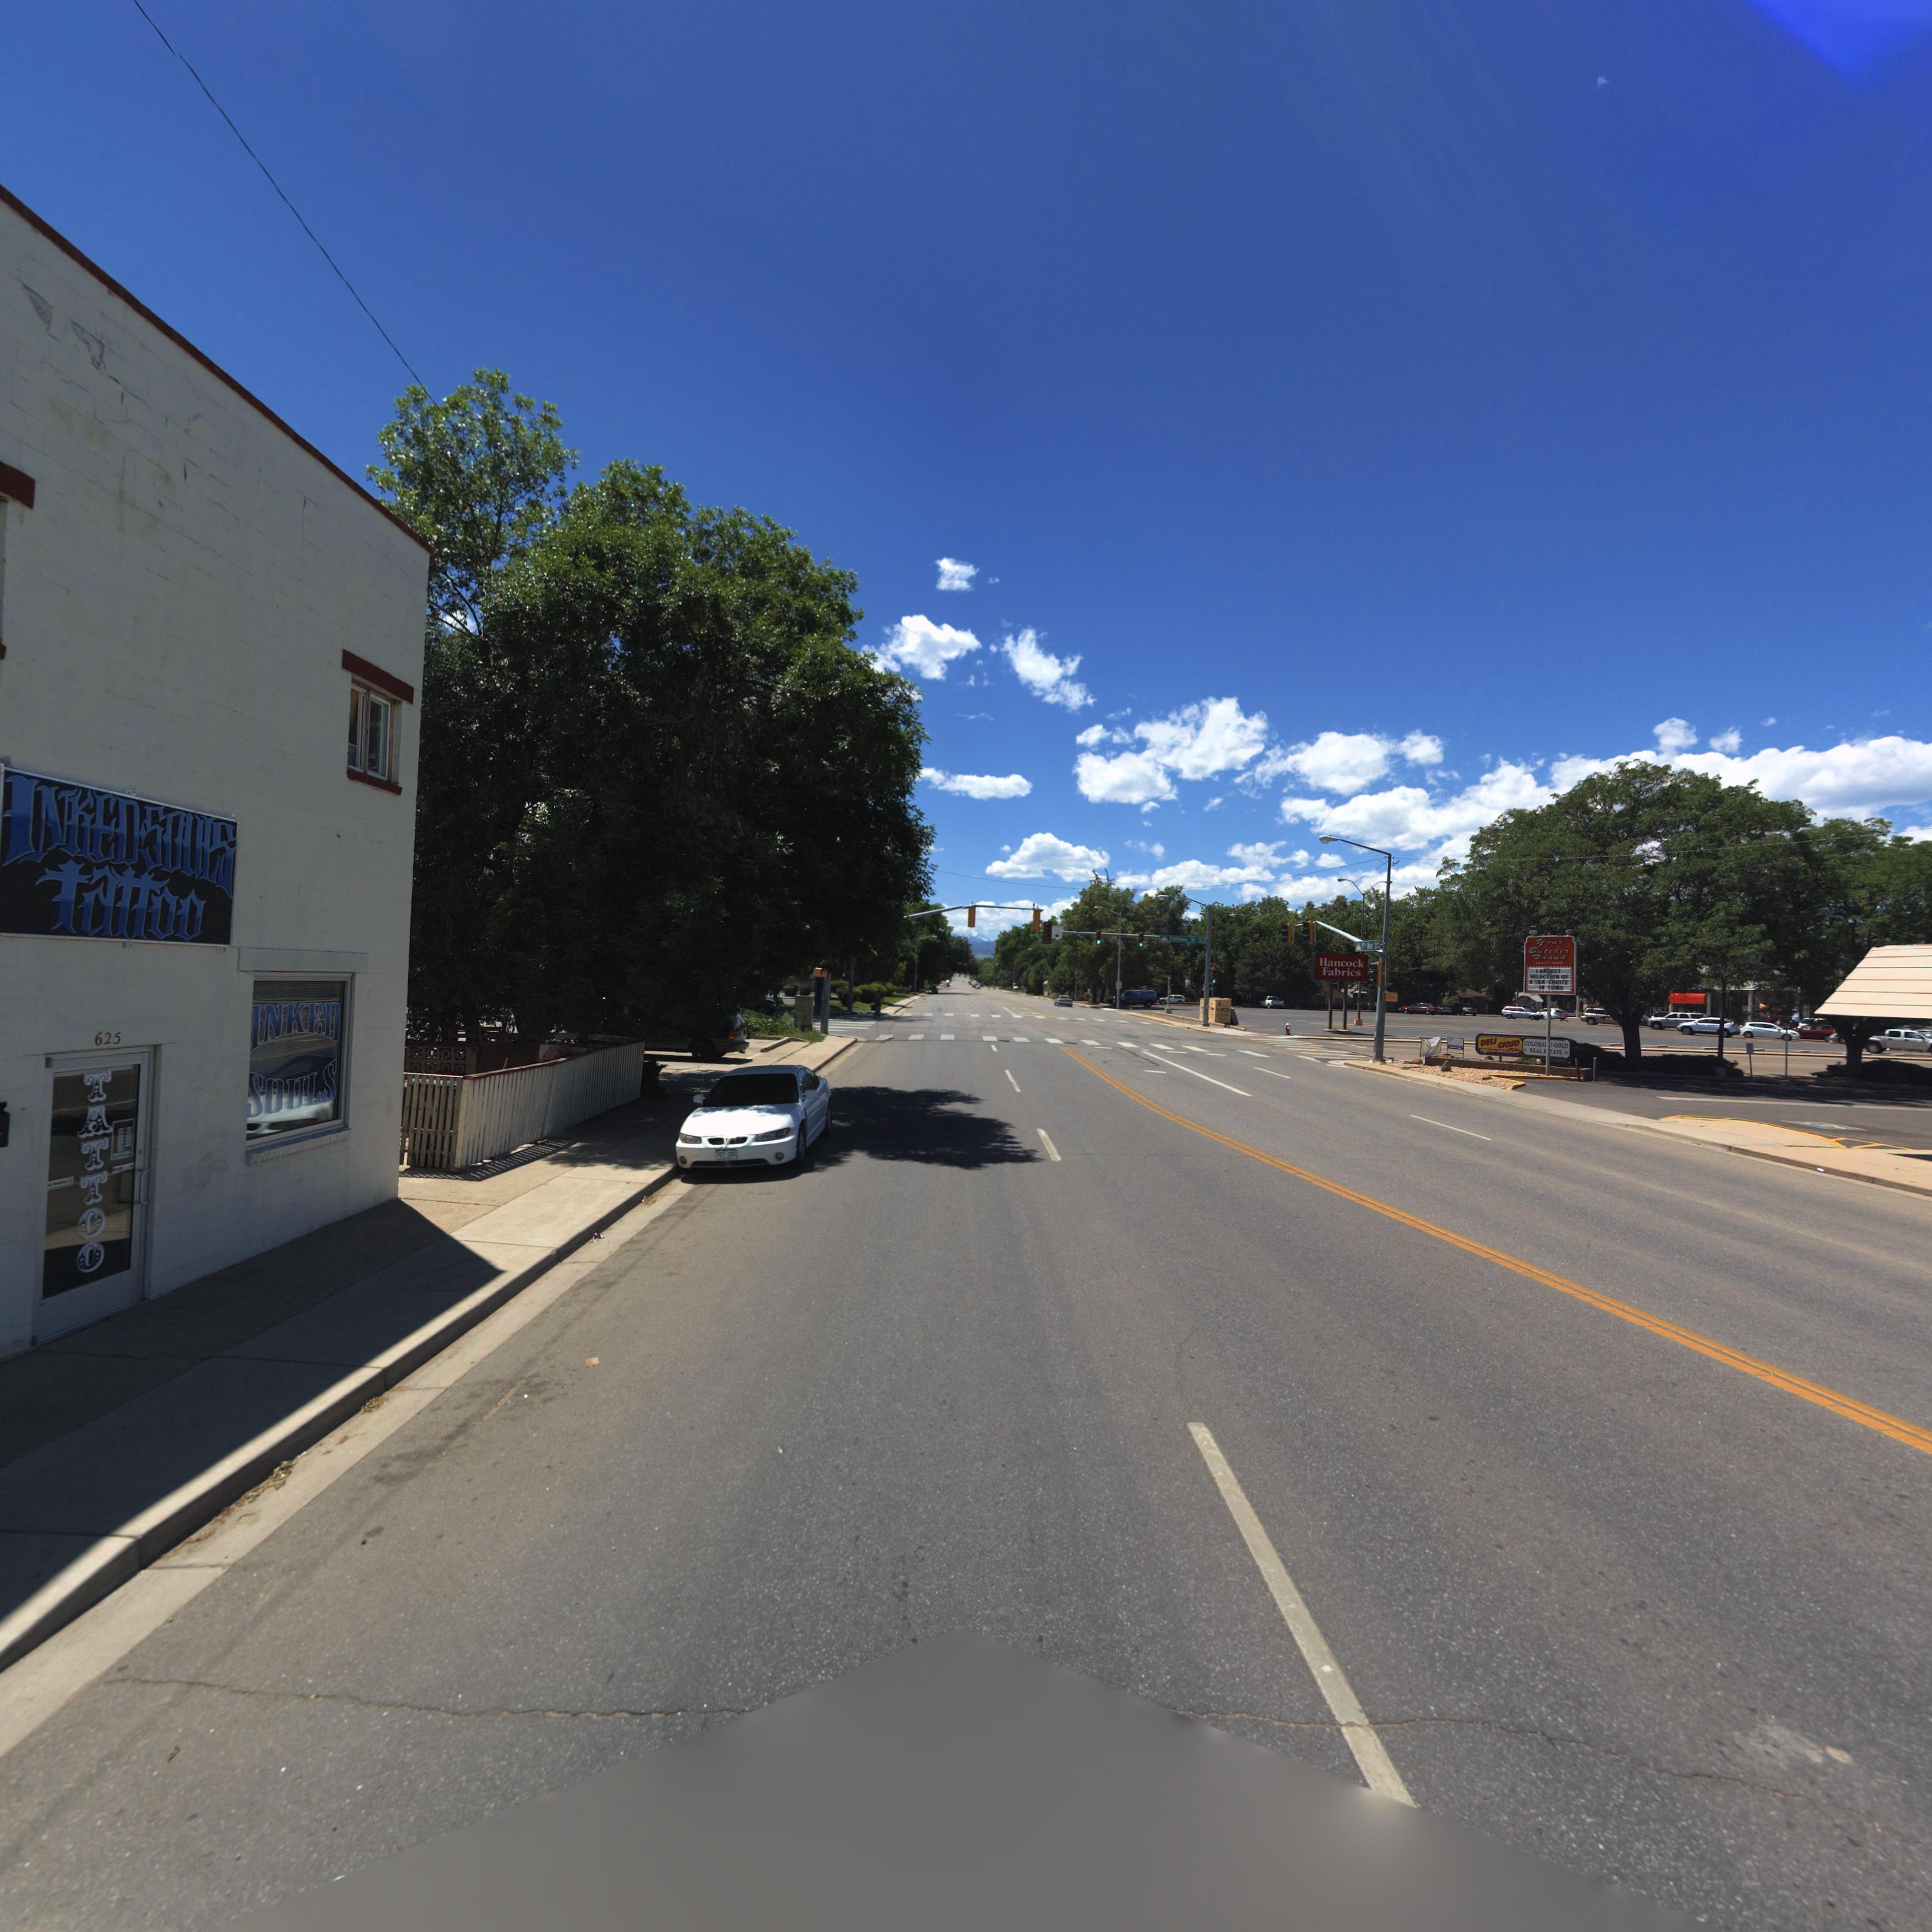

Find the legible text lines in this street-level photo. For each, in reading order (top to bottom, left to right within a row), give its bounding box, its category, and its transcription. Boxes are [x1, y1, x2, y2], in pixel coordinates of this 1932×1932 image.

[1, 773, 237, 900] BusinessName: INKEDSOULS
[33, 858, 207, 941] BusinessName: tattoo
[1169, 936, 1196, 942] StreetName: Coffman St
[1361, 942, 1373, 949] StreetName: 9** Ave
[1528, 946, 1569, 954] BusinessName: Butcher
[1534, 938, 1563, 947] BusinessName: Your
[1319, 957, 1364, 968] BusinessName: Hancock
[1531, 954, 1567, 962] BusinessName: Frank
[1322, 966, 1361, 976] BusinessName: Fabrics
[249, 1001, 341, 1053] BusinessName: INKED
[94, 1031, 121, 1046] StreetNumber: 625
[1480, 1037, 1497, 1047] BusinessName: DELI
[1497, 1037, 1520, 1049] BusinessName: cioso
[1523, 1040, 1568, 1049] BusinessName: COLORA** GOLD
[1480, 1048, 1519, 1053] BusinessName: M*XICAN R******RANT
[1529, 1047, 1562, 1054] BusinessName: REAL E*TATE
[246, 1057, 338, 1119] BusinessName: SOULS
[75, 1068, 114, 1274] BusinessName: TATTOO